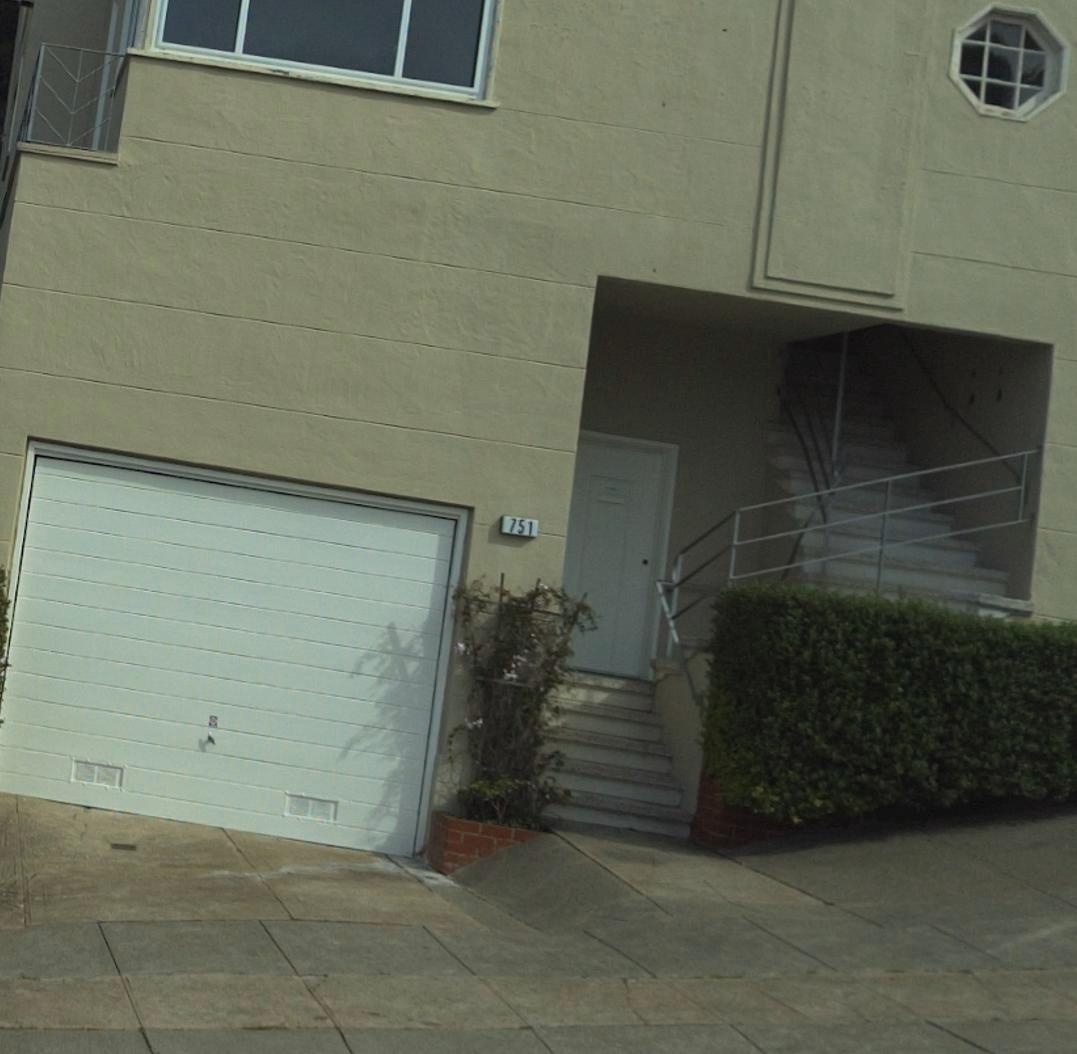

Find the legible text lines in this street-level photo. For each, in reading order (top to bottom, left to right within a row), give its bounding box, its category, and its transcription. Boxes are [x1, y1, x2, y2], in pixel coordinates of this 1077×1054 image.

[508, 516, 534, 537] StreetNumber: 751